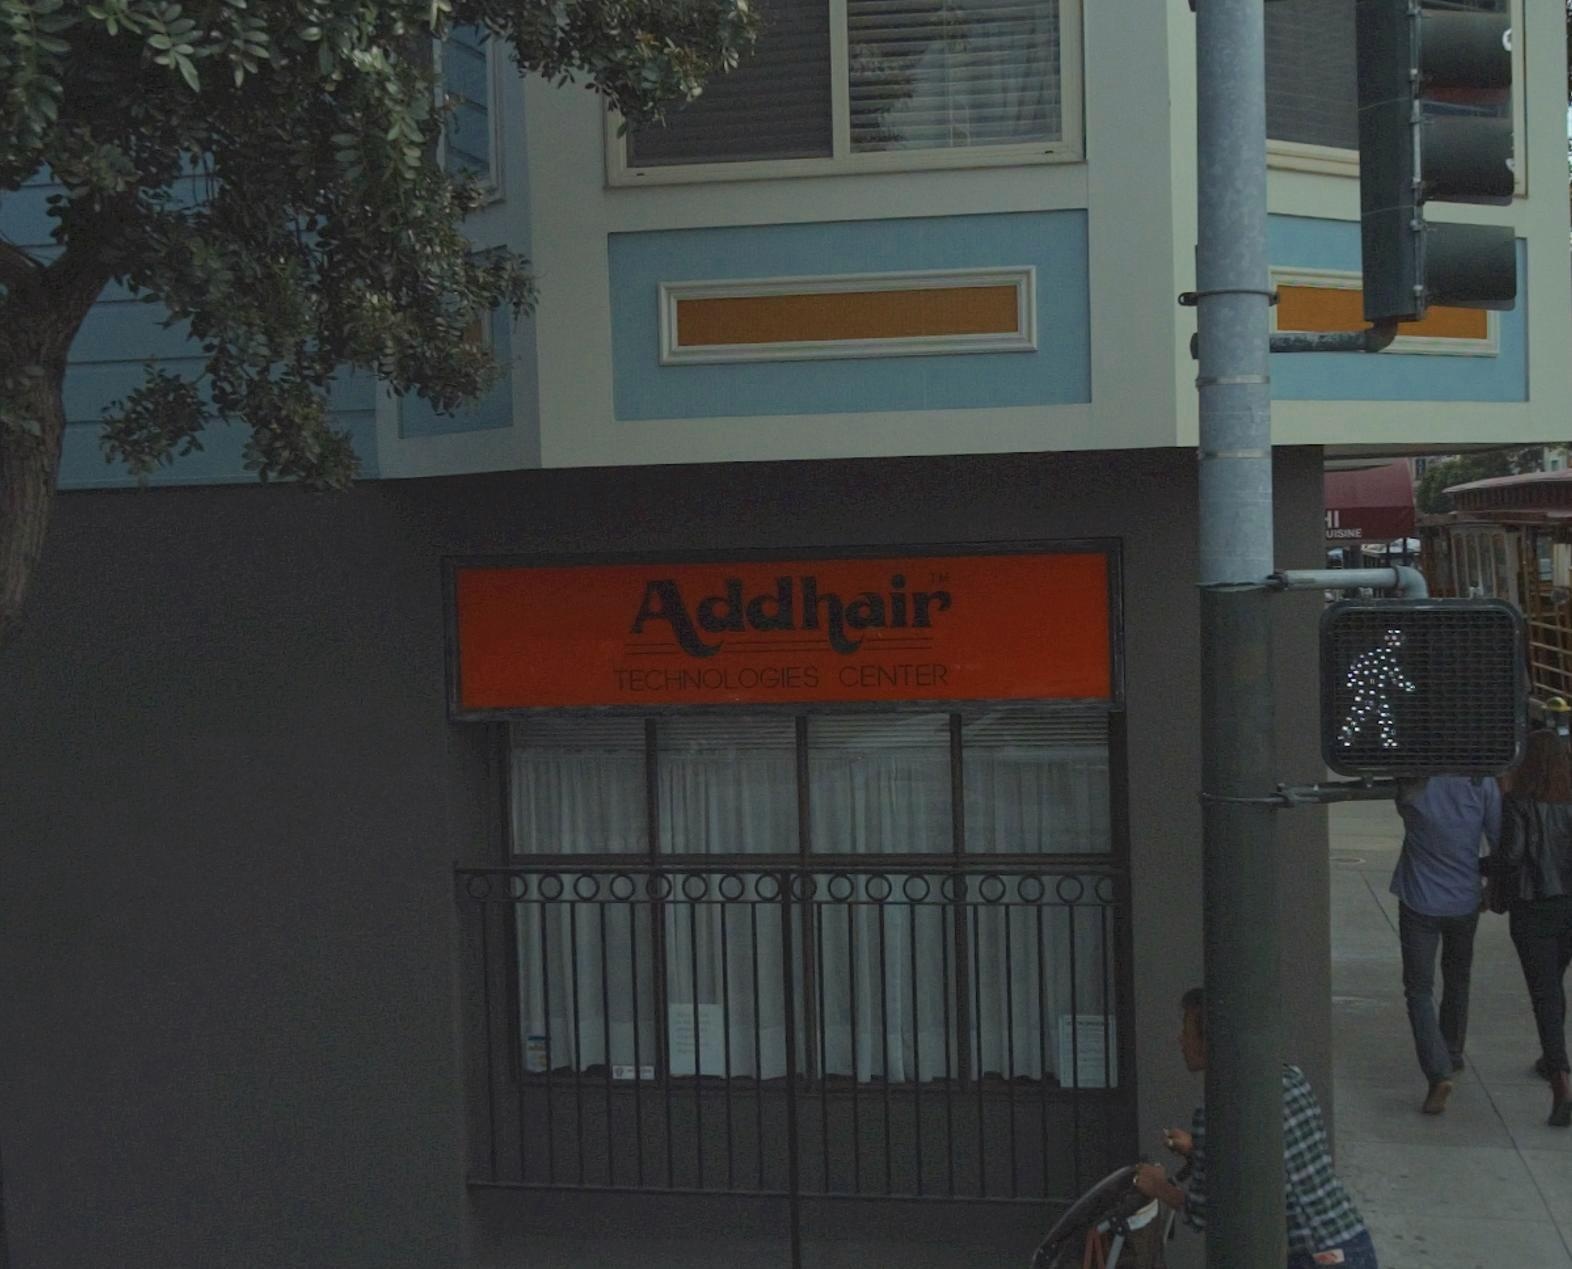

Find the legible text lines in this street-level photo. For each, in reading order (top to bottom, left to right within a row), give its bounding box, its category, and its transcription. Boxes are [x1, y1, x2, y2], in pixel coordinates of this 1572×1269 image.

[1331, 507, 1342, 530] None: I
[1324, 526, 1364, 540] None: UISINE
[622, 568, 960, 663] BusinessName: Addhair
[609, 658, 953, 694] BusinessName: TECHNOLOGIES CENTER